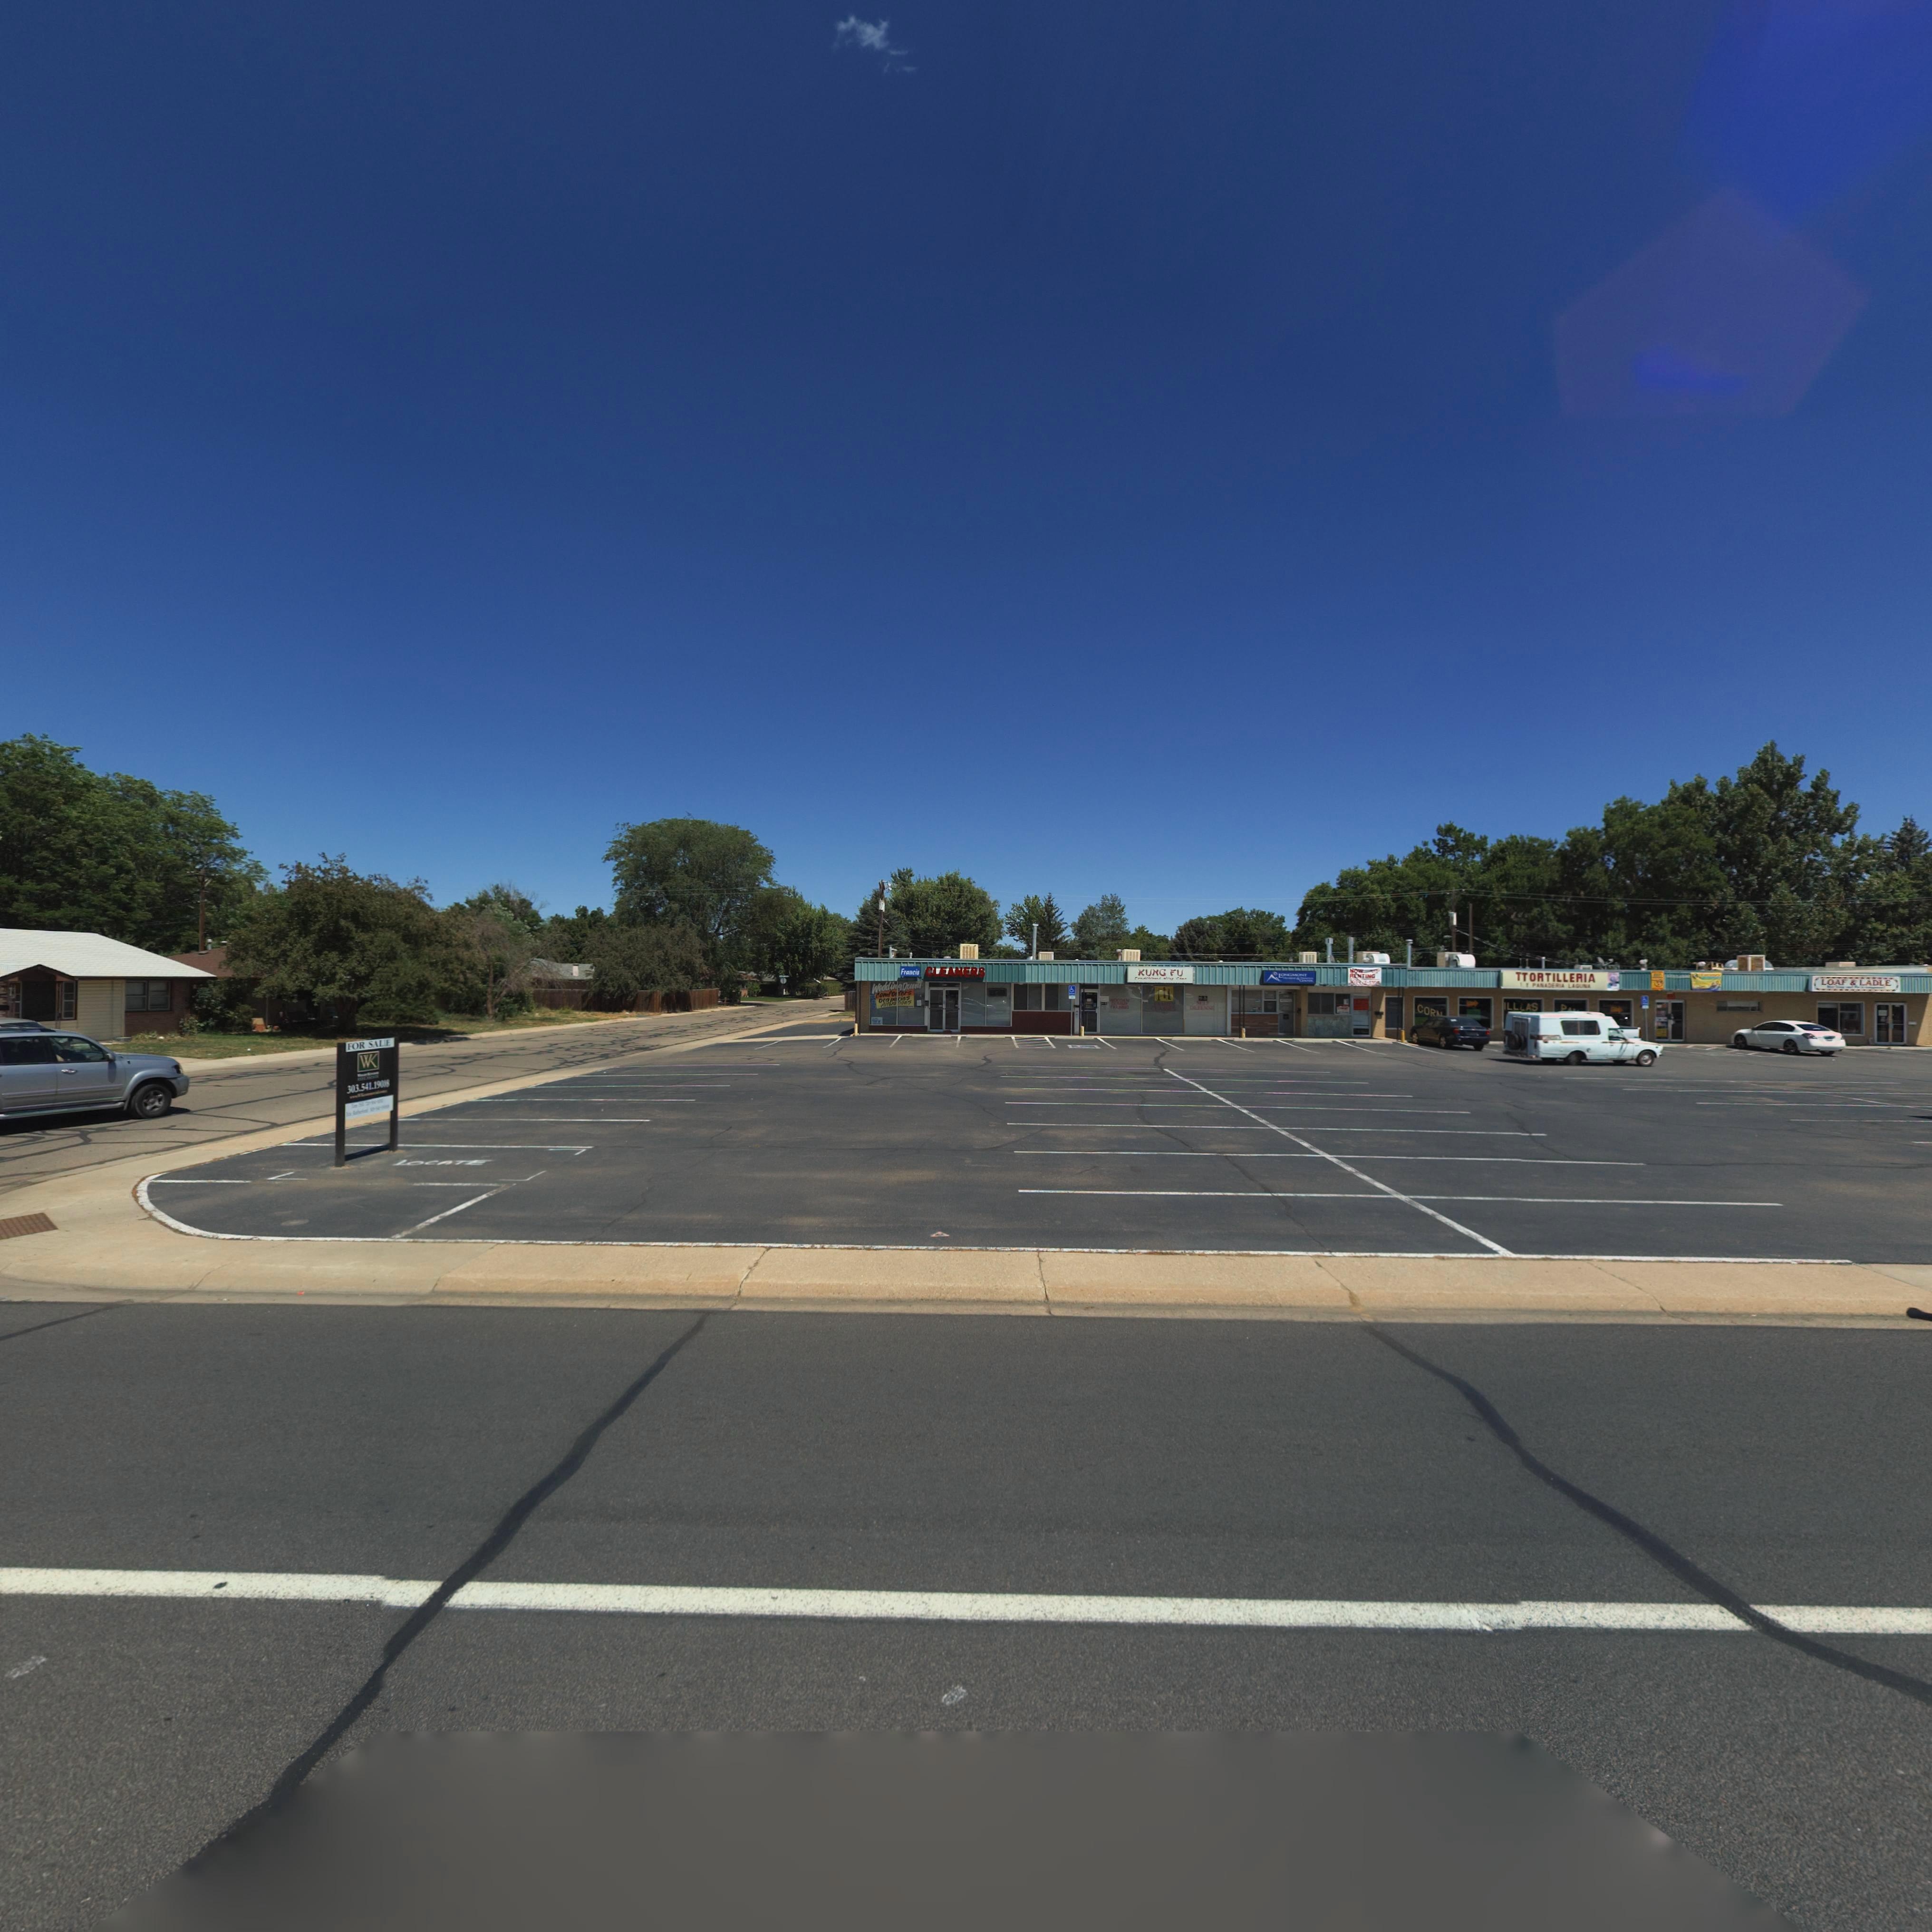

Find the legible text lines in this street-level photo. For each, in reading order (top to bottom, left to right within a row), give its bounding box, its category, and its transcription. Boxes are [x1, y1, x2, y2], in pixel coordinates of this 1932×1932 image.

[900, 967, 920, 975] BusinessName: Francis 
[925, 966, 985, 977] BusinessName: CLEANERS
[1138, 967, 1183, 976] BusinessName: KUNG FU
[1515, 971, 1596, 983] BusinessName: TTORTILLERIA
[1525, 982, 1591, 988] BusinessName: * PANADER*A LAGUN*
[1821, 978, 1892, 986] BusinessName: LOAF * LADLE